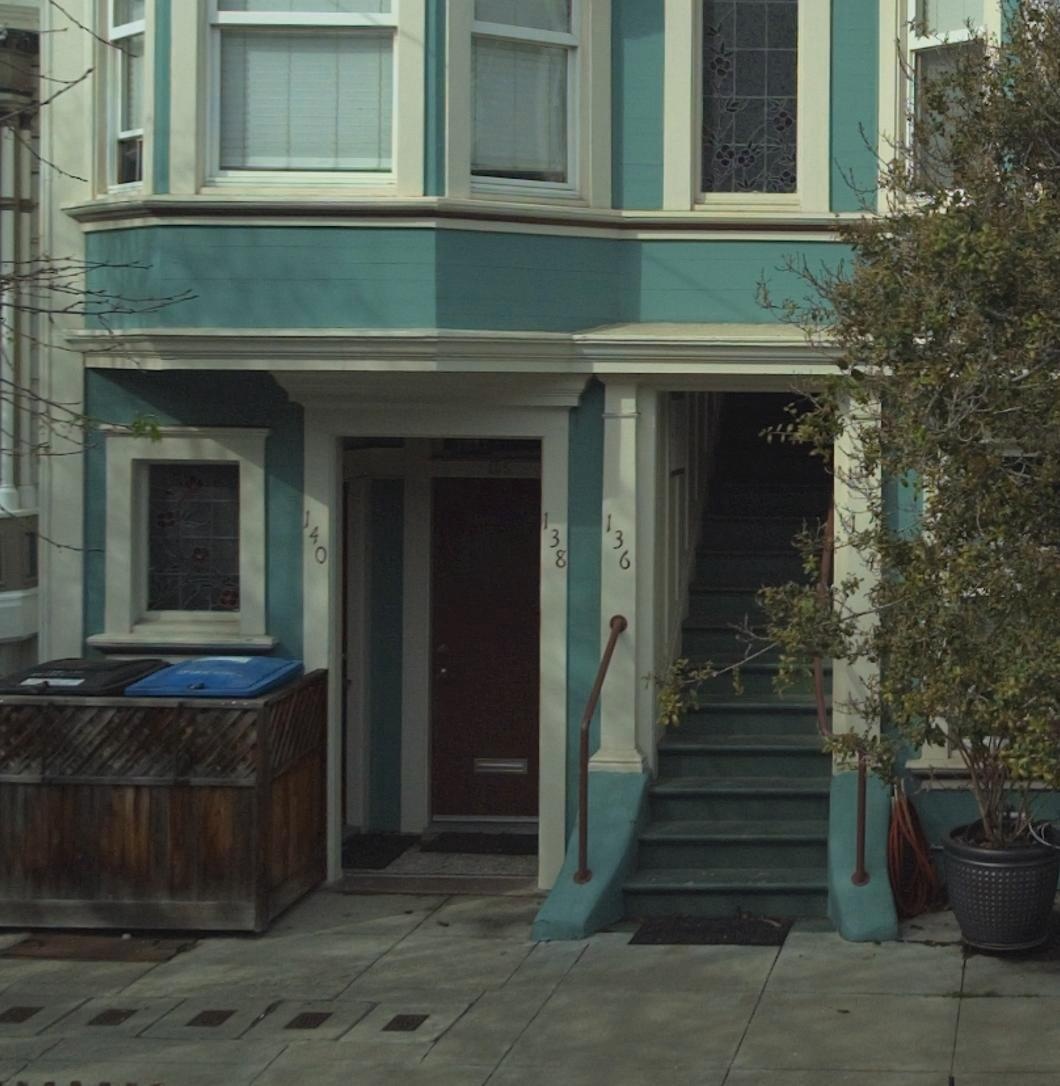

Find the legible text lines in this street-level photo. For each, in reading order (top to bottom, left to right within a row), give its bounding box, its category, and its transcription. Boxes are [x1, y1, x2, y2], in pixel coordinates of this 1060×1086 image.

[303, 504, 328, 568] StreetNumber: 140
[541, 508, 568, 569] StreetNumber: 138
[603, 502, 636, 579] StreetNumber: 136